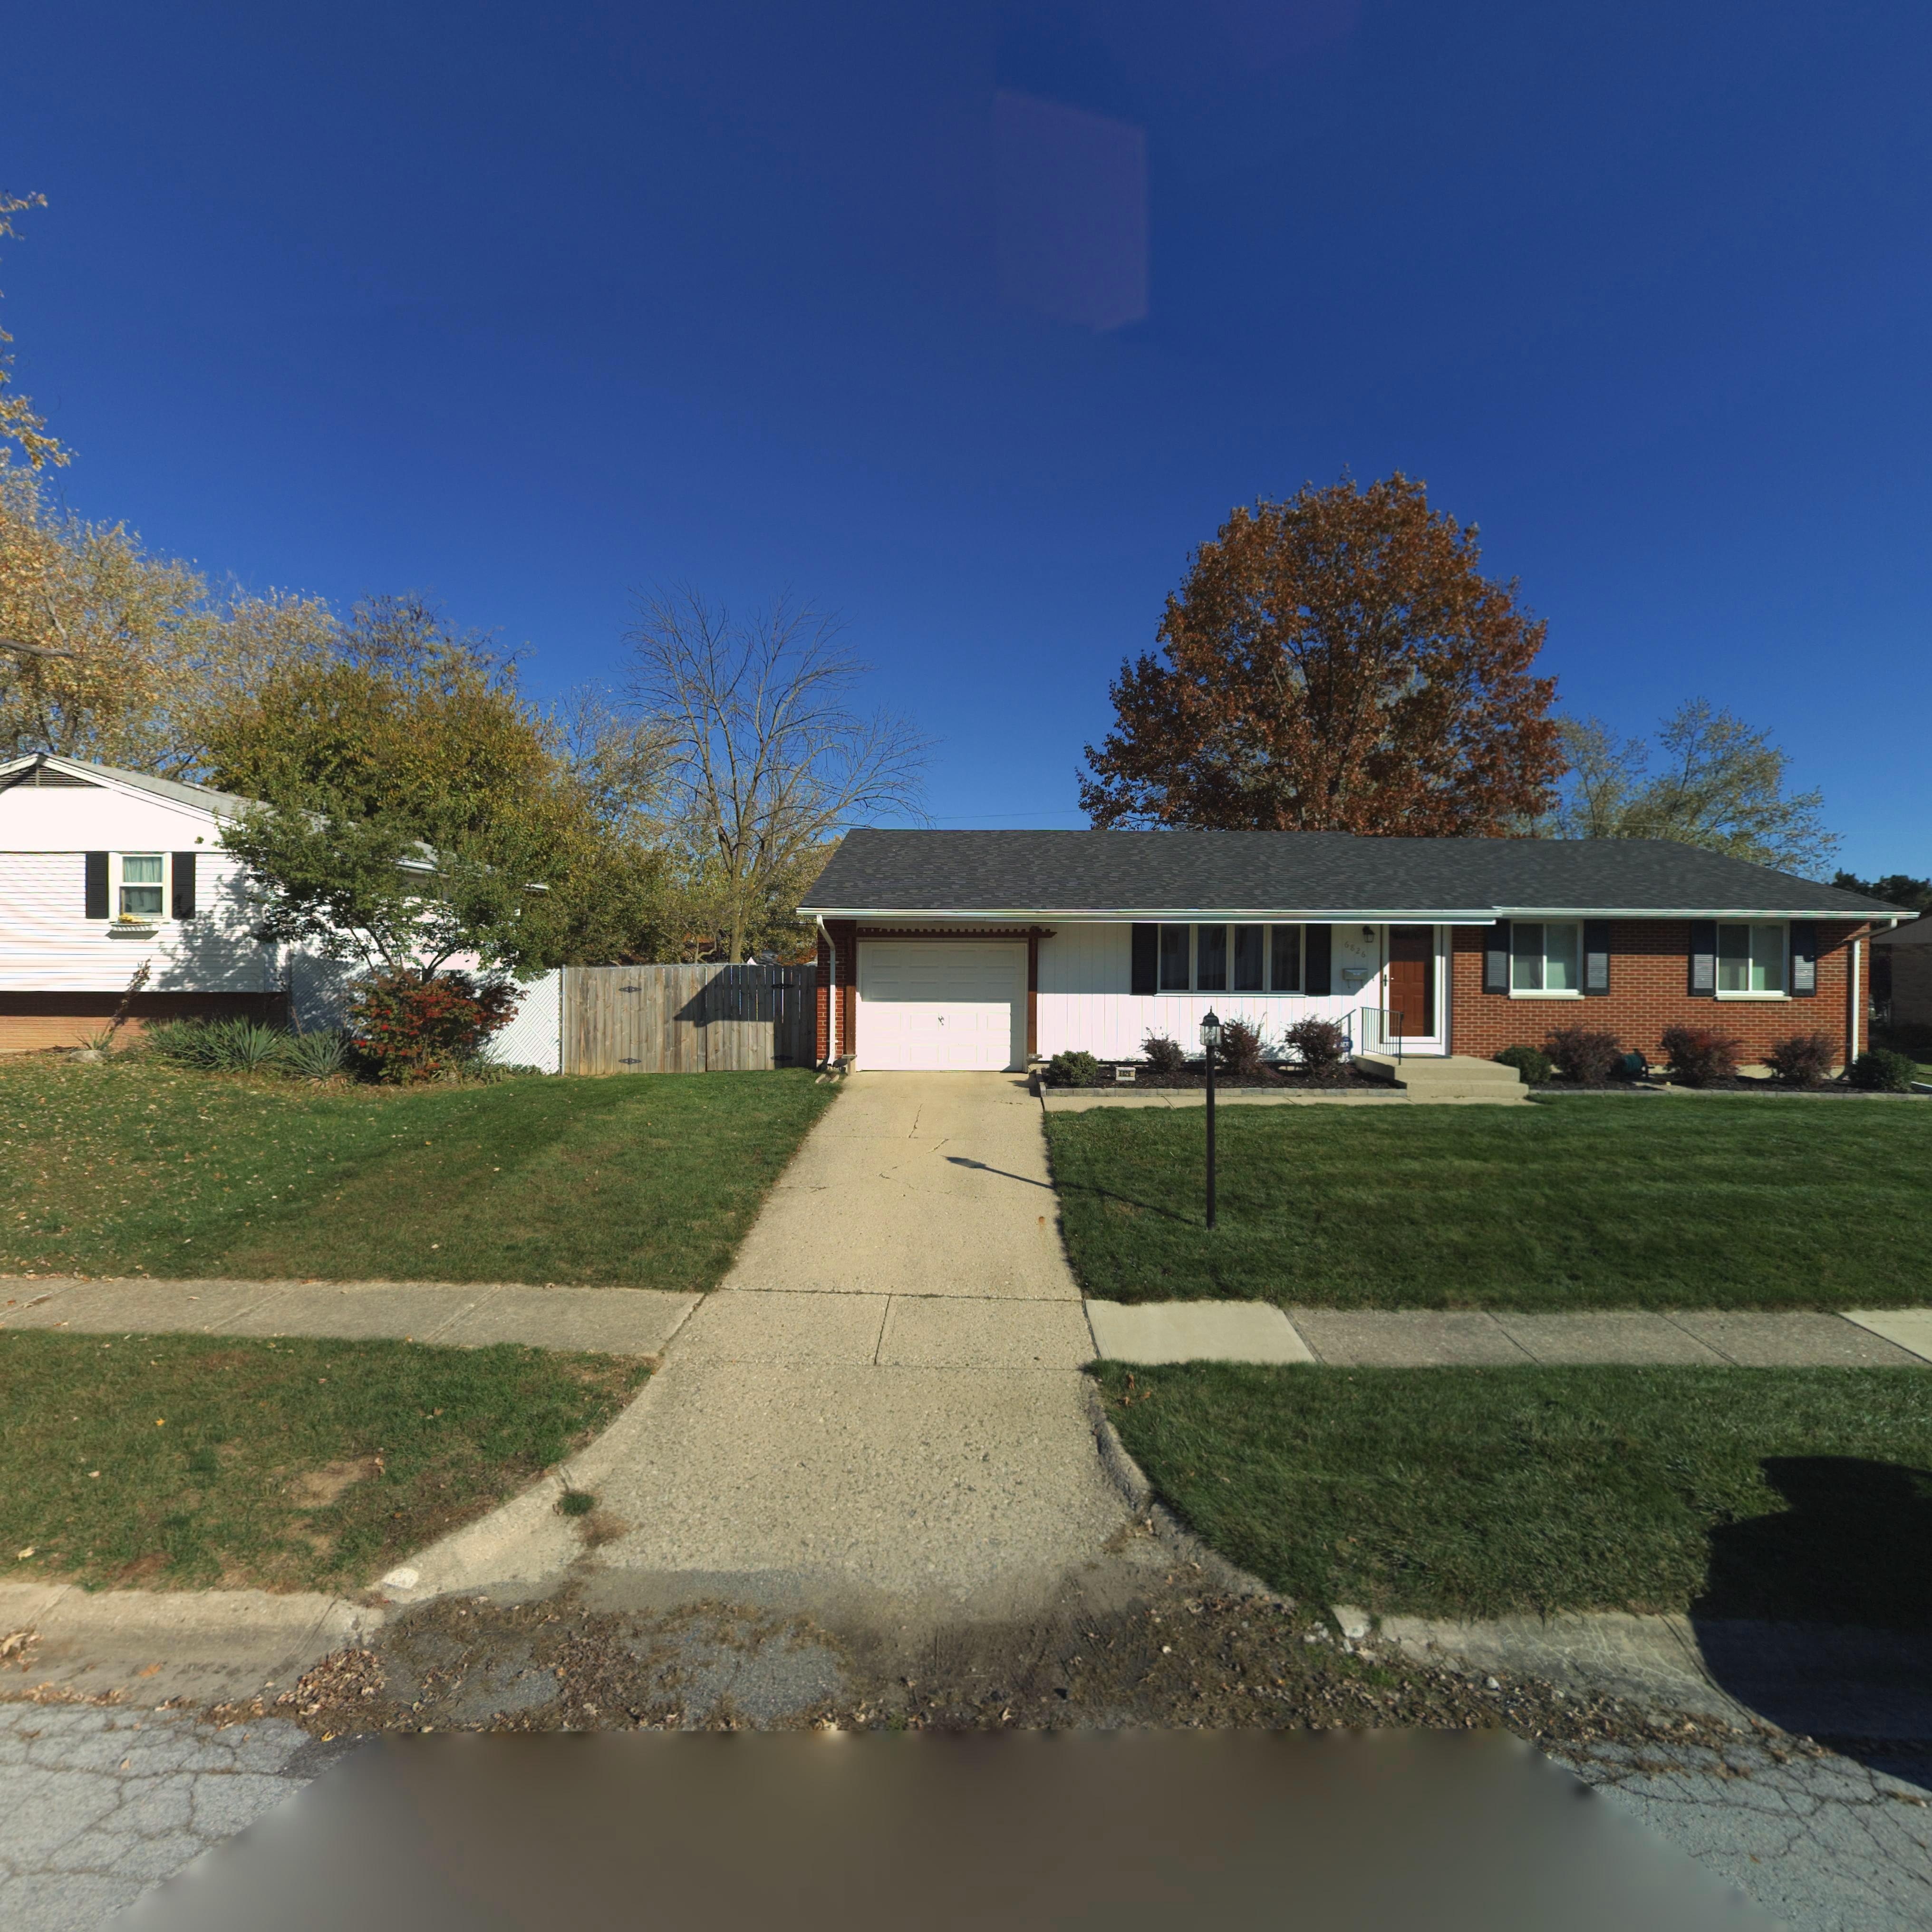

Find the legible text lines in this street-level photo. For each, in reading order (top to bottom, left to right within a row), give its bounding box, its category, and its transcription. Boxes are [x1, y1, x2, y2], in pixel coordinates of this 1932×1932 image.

[1344, 940, 1366, 959] StreetNumber: 6826
[1119, 1071, 1131, 1076] StreetNumber: 6826